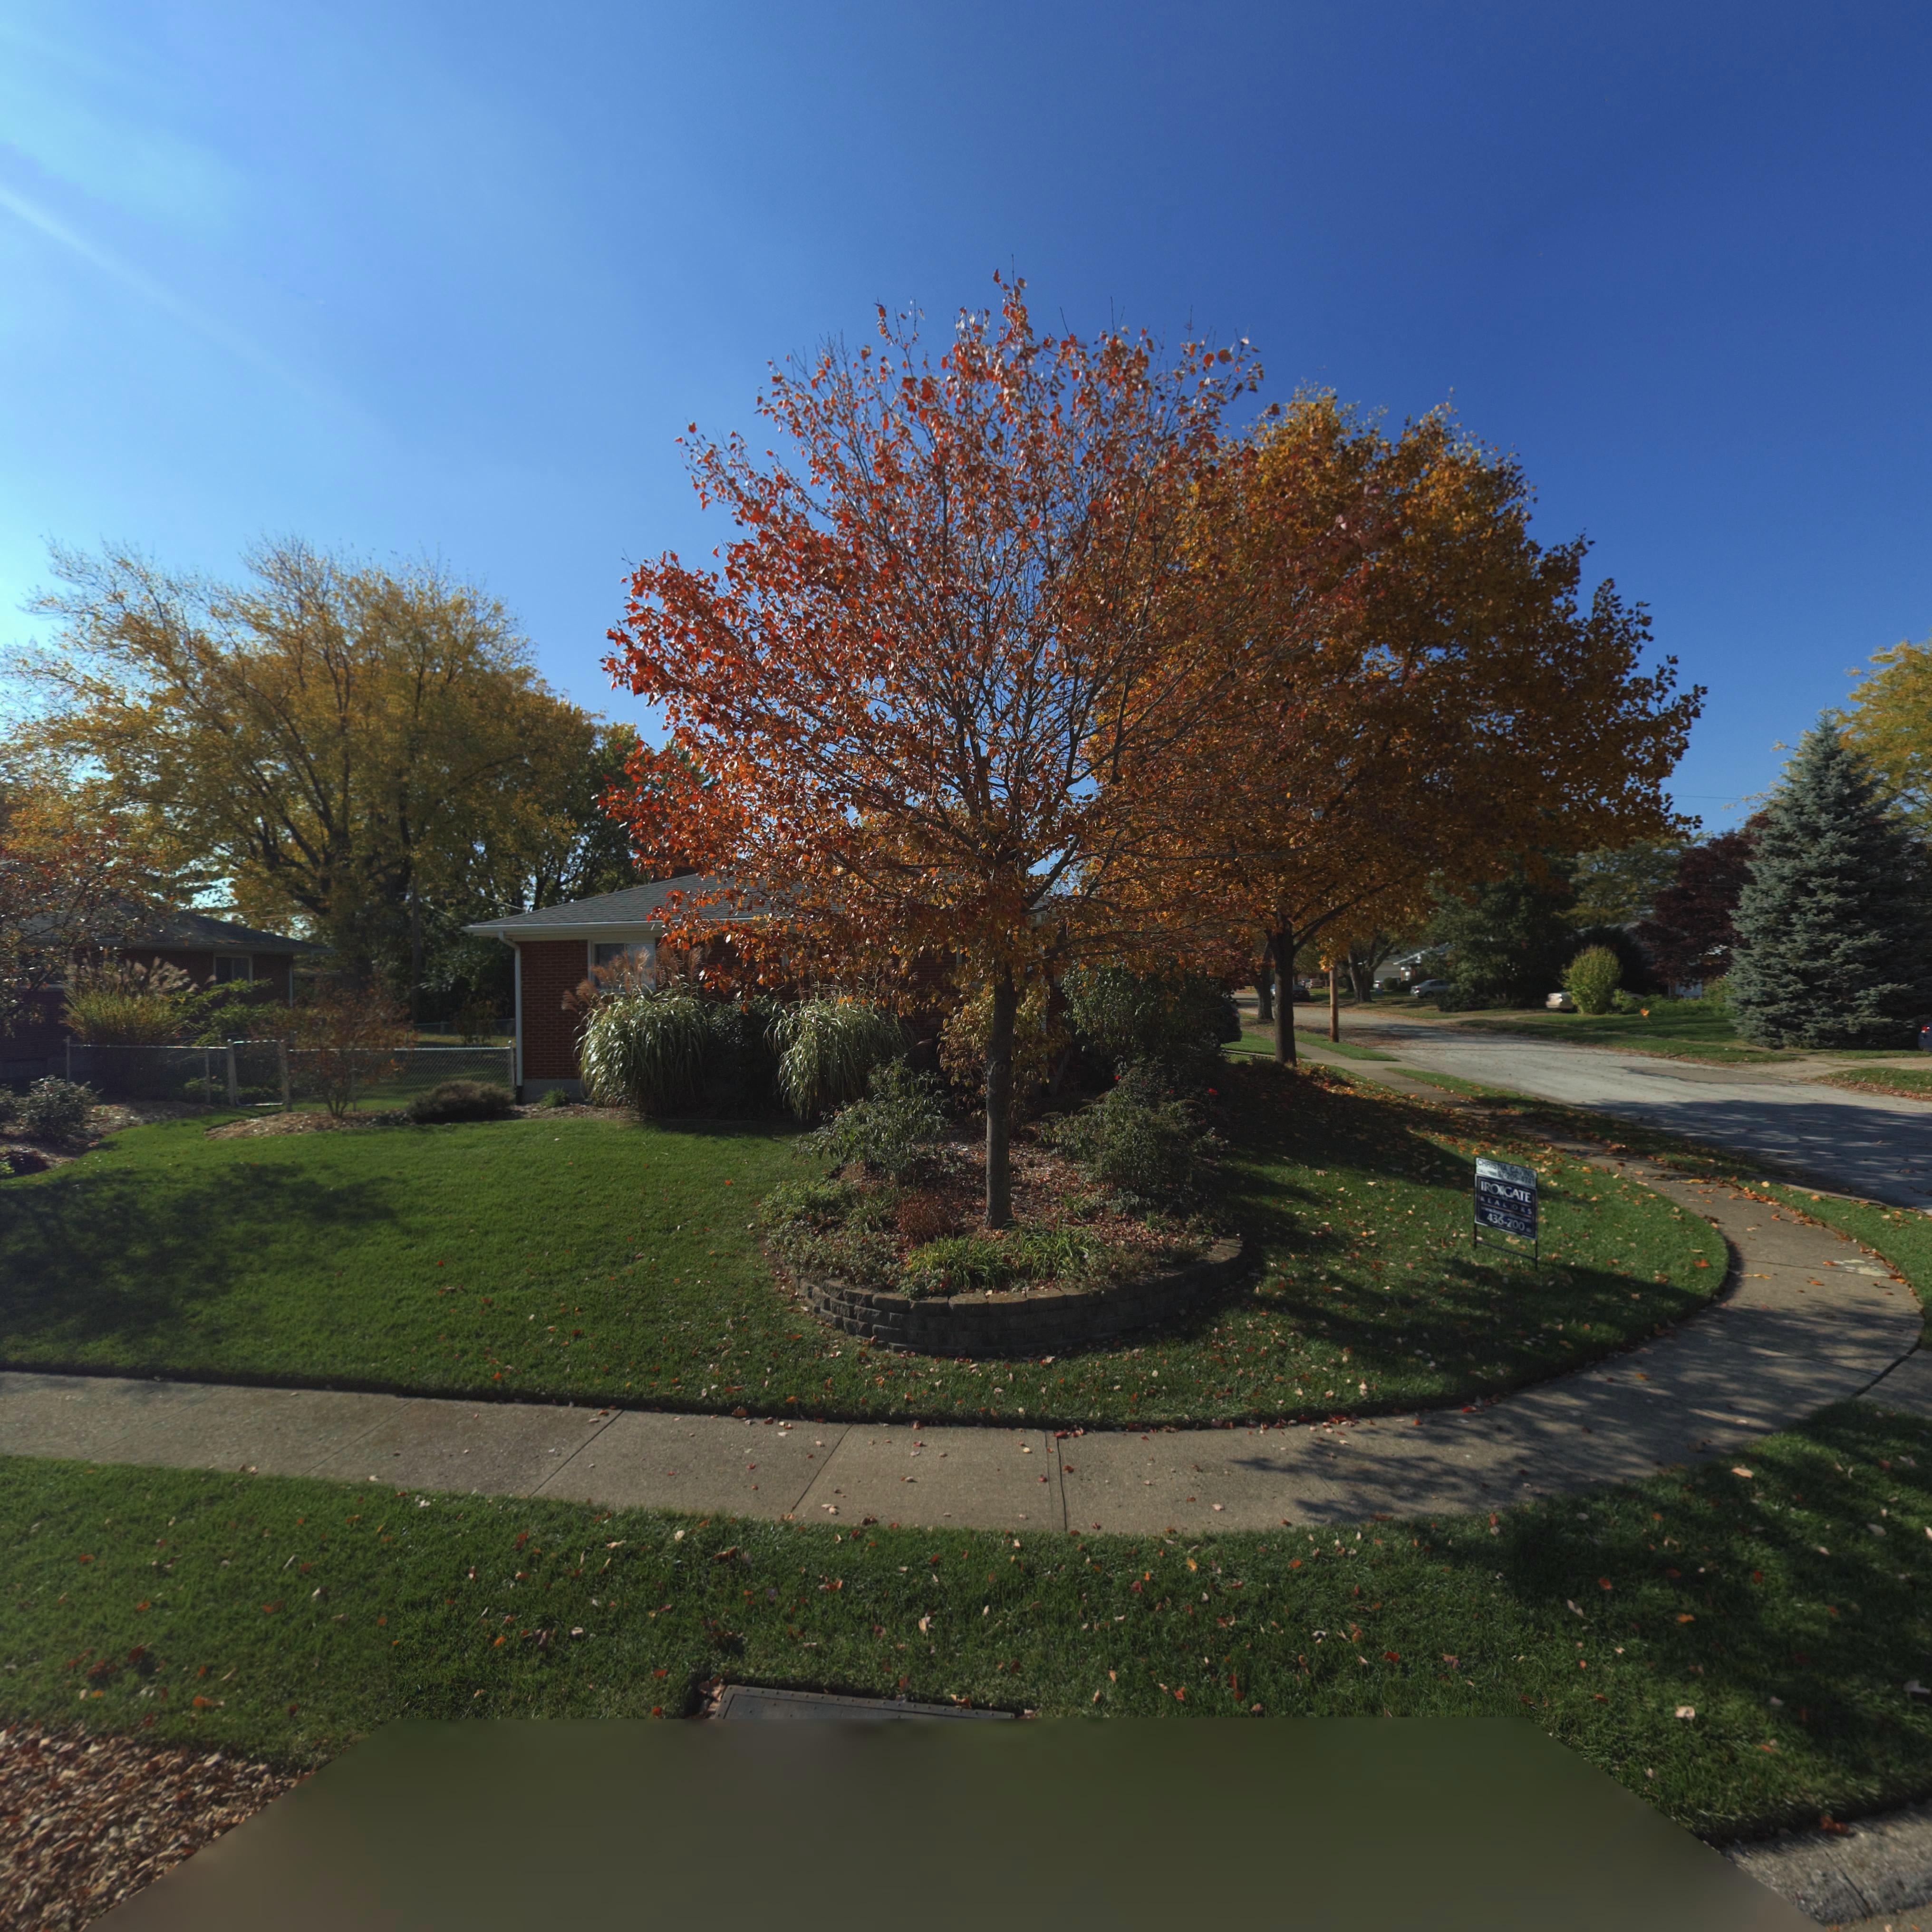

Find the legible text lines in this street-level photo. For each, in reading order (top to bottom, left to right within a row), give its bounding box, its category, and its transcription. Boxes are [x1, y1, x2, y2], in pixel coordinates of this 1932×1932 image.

[1477, 1158, 1536, 1179] None: CHRISTINA CAVINS
[1497, 1170, 1535, 1186] None: 97-205-4741
[1480, 1179, 1533, 1204] None: IRONGATE
[1480, 1195, 1533, 1216] None: REAL*ORS
[1486, 1211, 1526, 1232] None: 436-*00